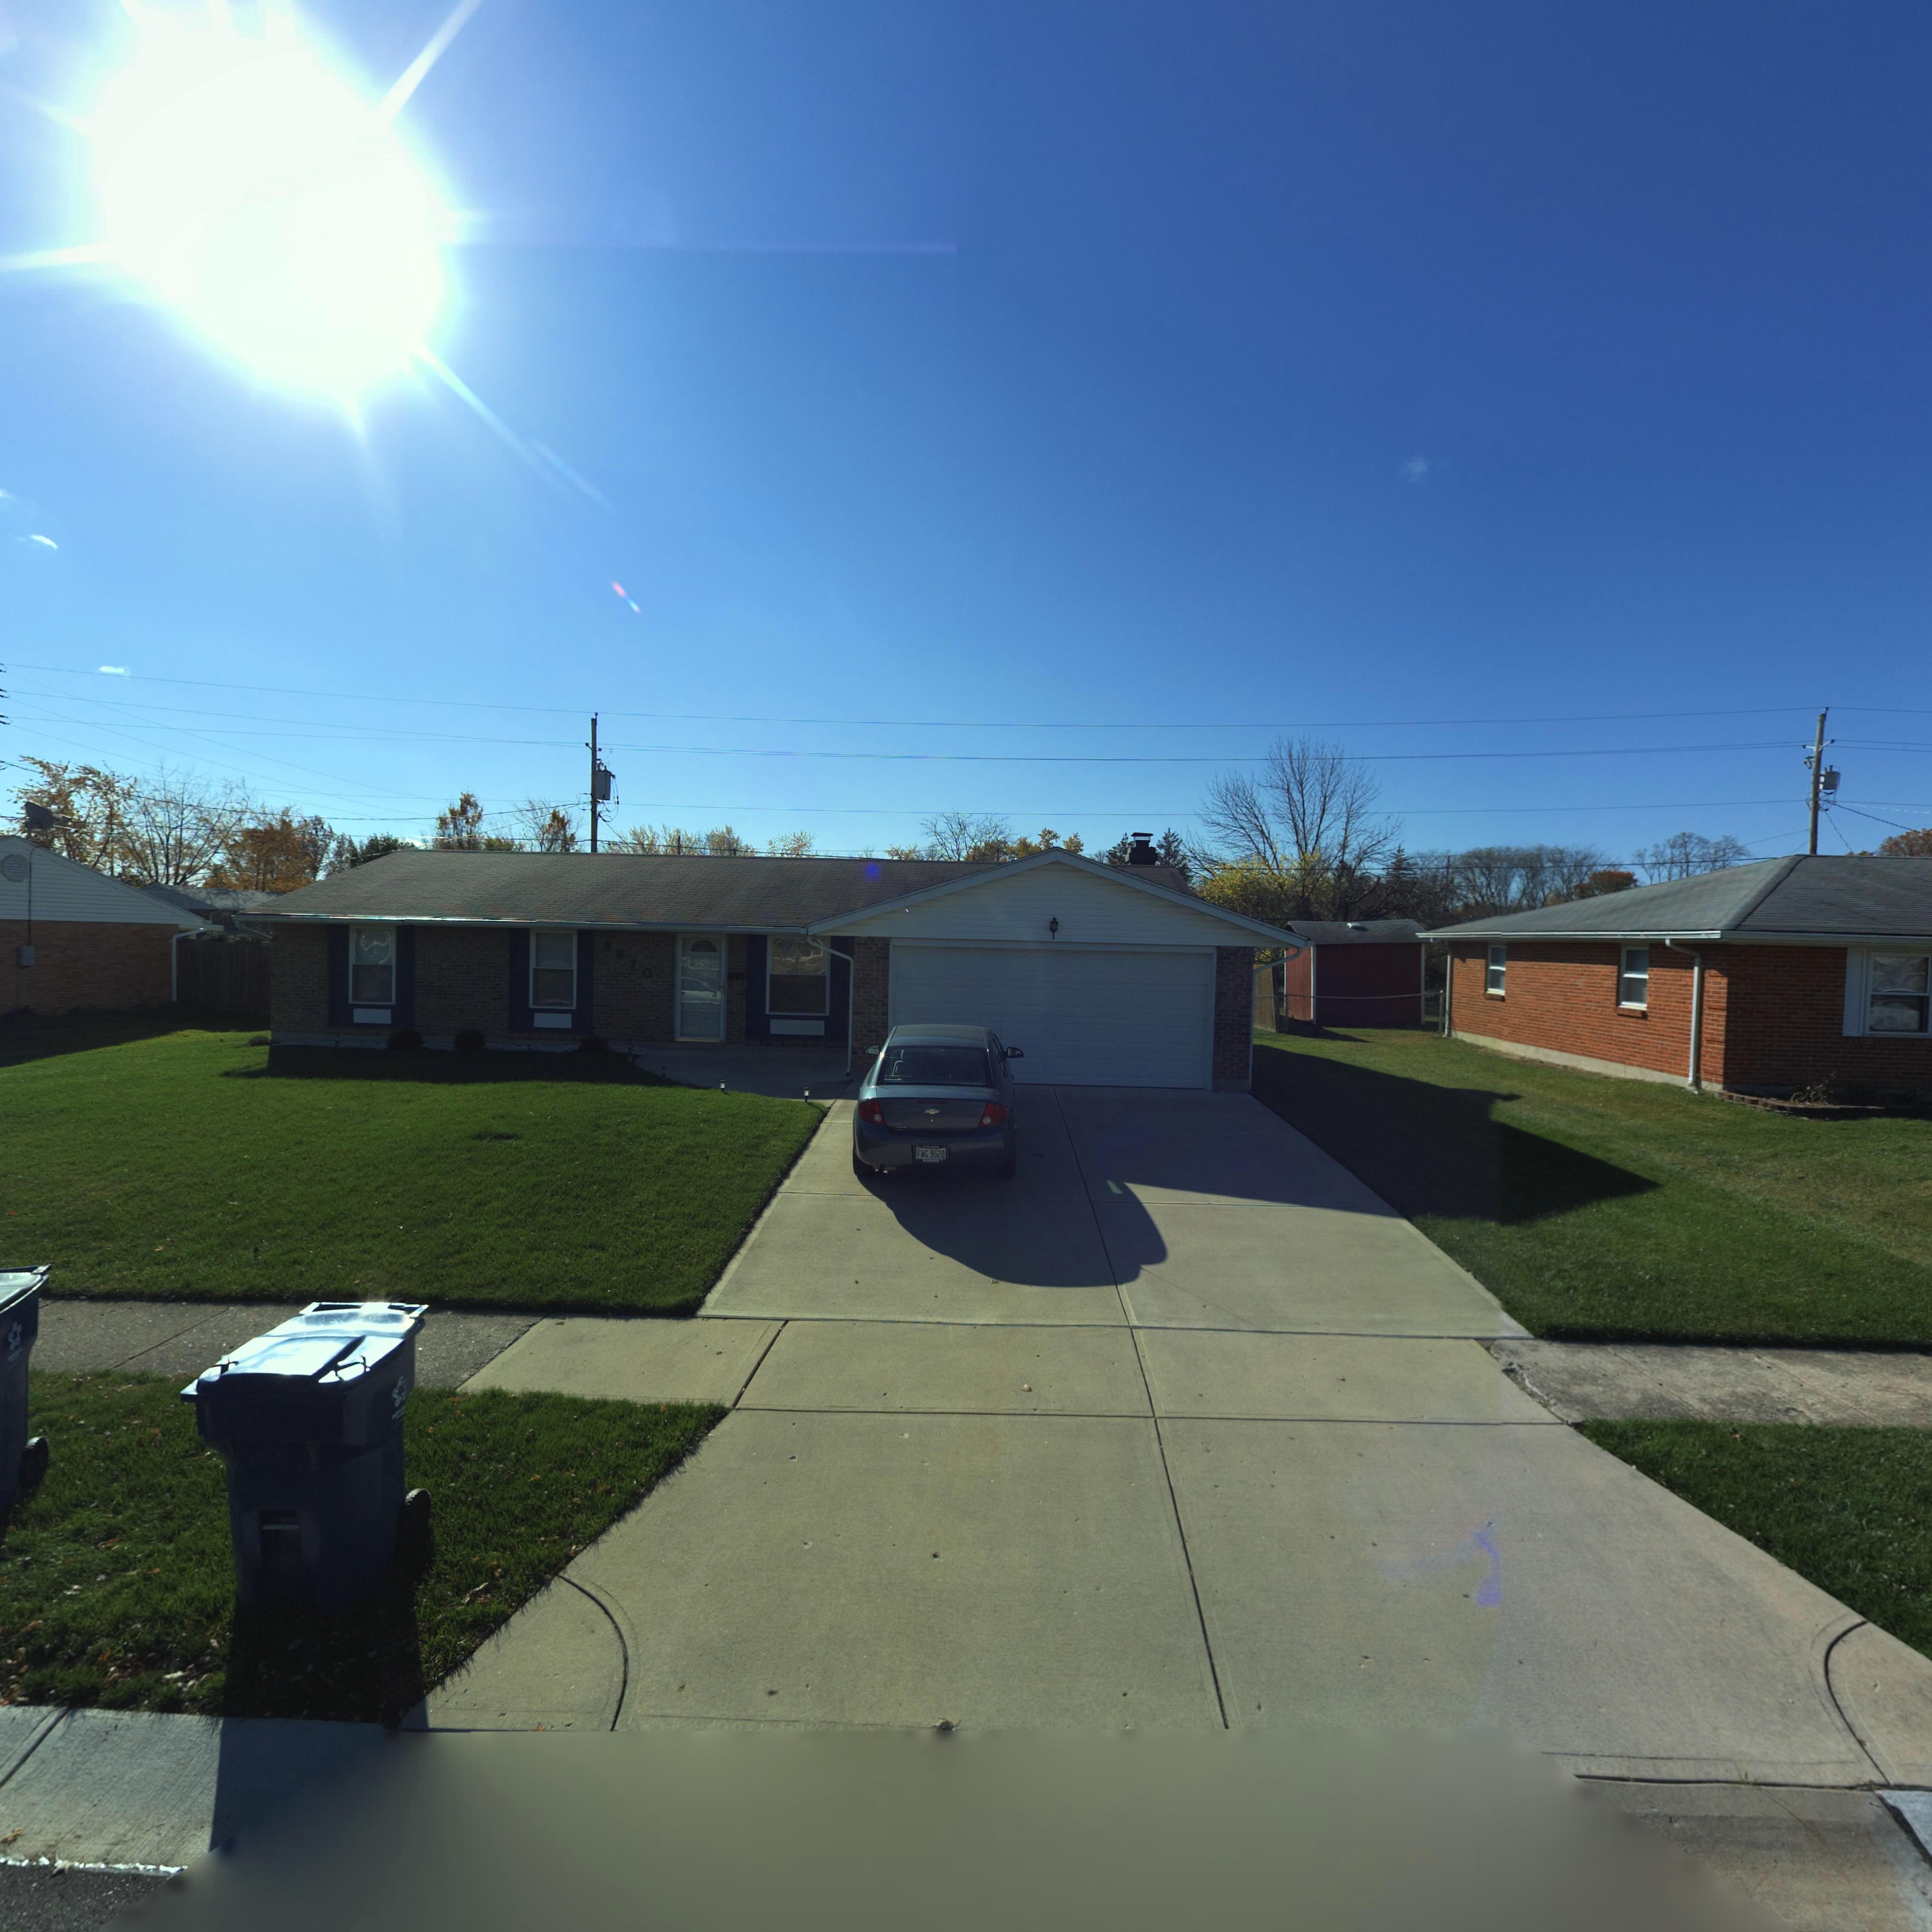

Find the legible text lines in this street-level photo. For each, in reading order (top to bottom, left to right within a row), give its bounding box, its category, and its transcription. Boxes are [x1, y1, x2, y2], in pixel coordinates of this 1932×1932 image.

[603, 939, 653, 980] StreetNumber: 6970